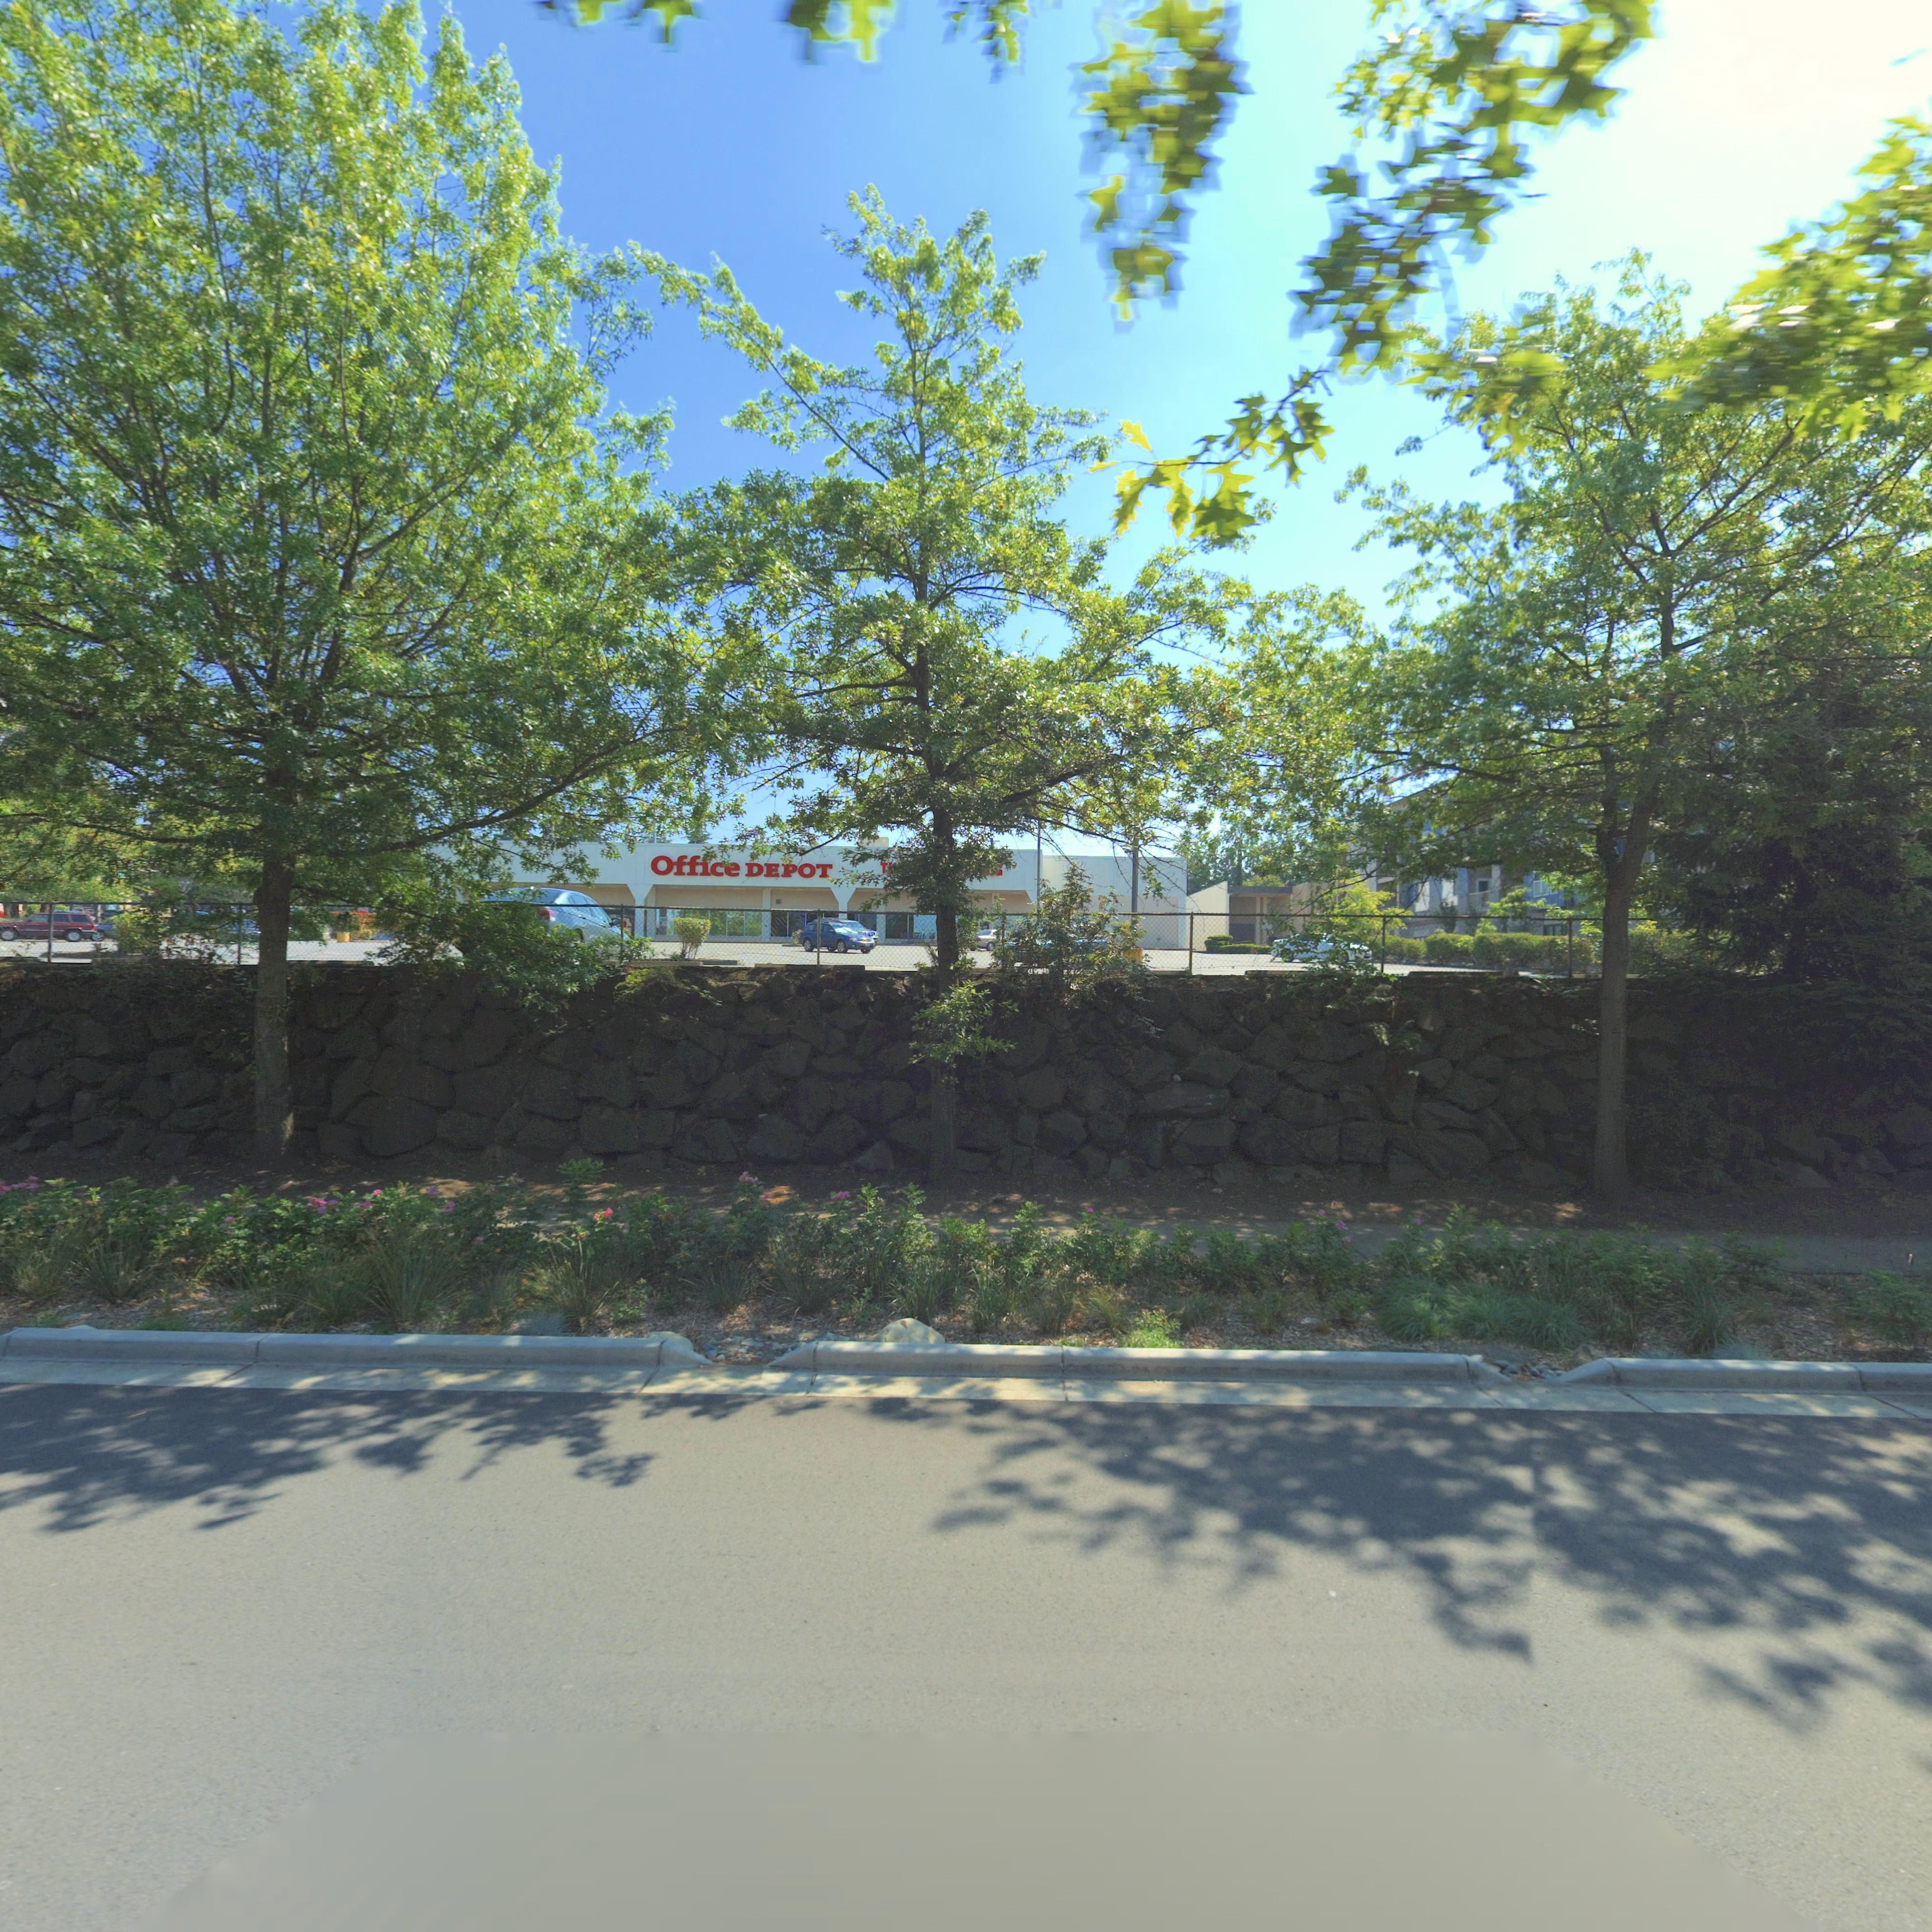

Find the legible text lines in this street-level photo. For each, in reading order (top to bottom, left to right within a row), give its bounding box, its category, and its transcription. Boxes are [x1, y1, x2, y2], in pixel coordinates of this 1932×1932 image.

[651, 855, 832, 878] BusinessName: Office DEPOT